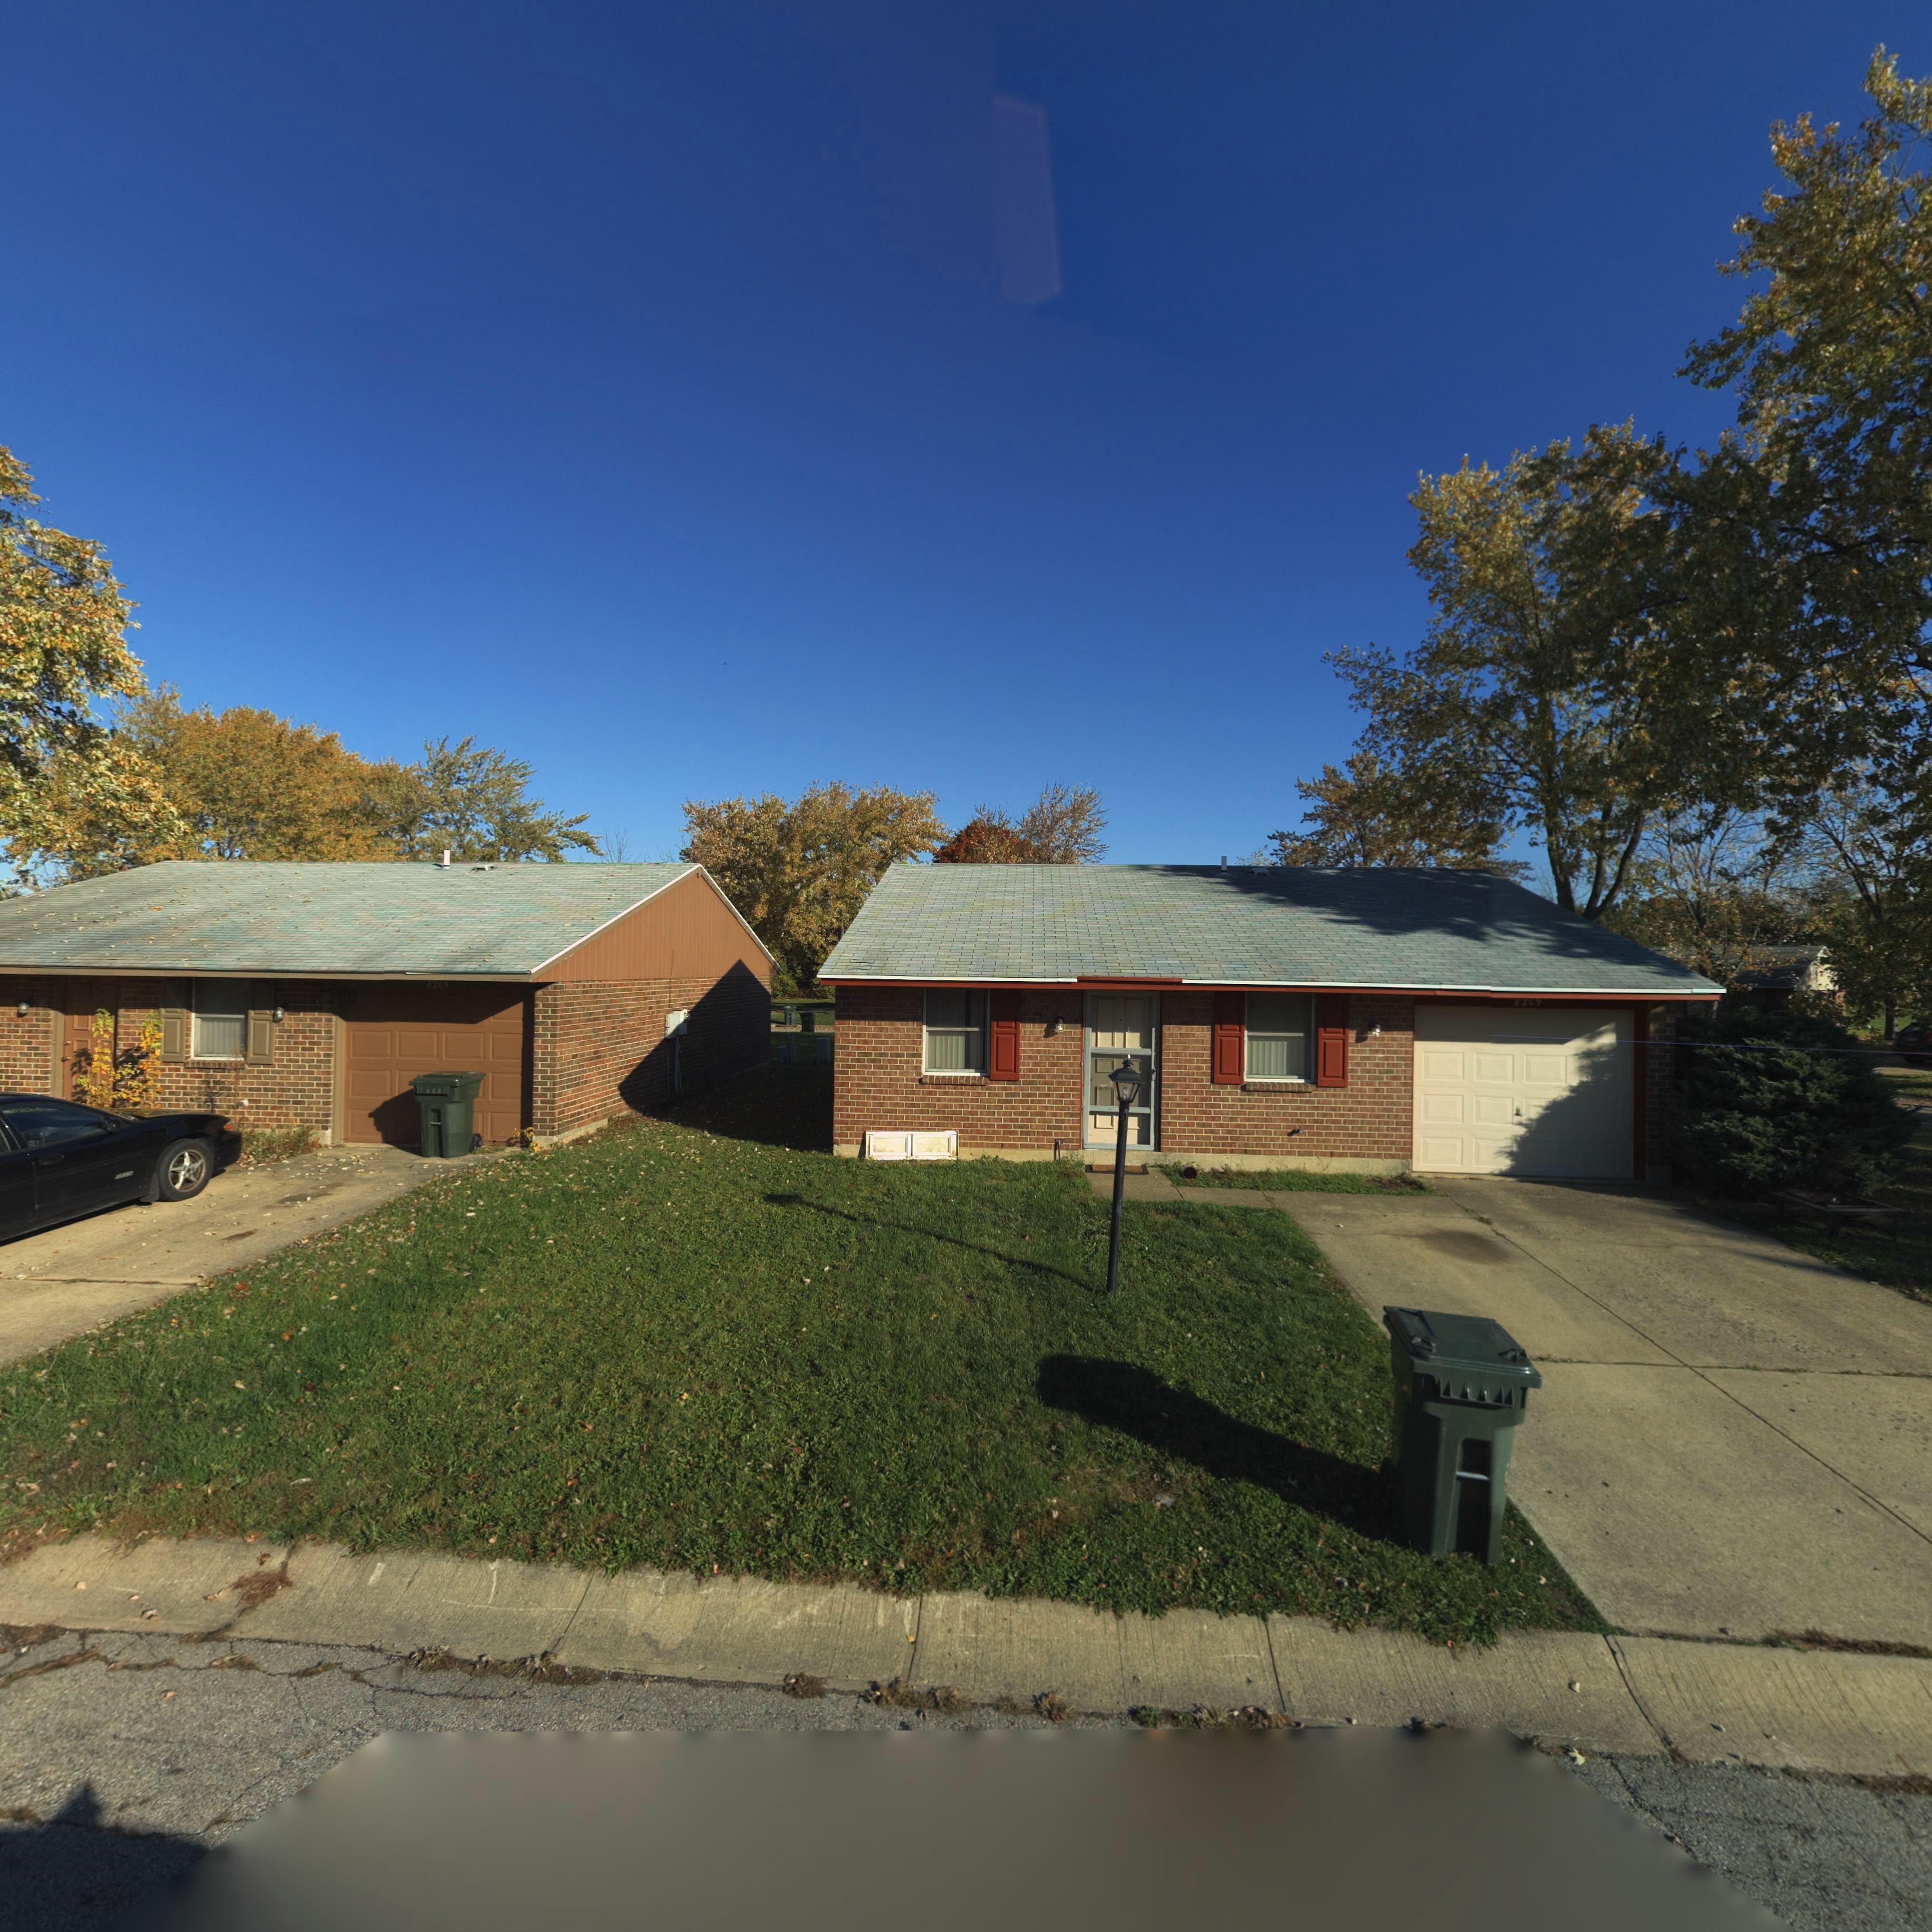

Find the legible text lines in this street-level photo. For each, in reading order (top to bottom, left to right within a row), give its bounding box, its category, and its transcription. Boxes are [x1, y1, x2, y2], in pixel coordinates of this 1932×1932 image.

[425, 980, 449, 990] StreetNumber: 8205
[1513, 997, 1543, 1008] StreetNumber: 8209